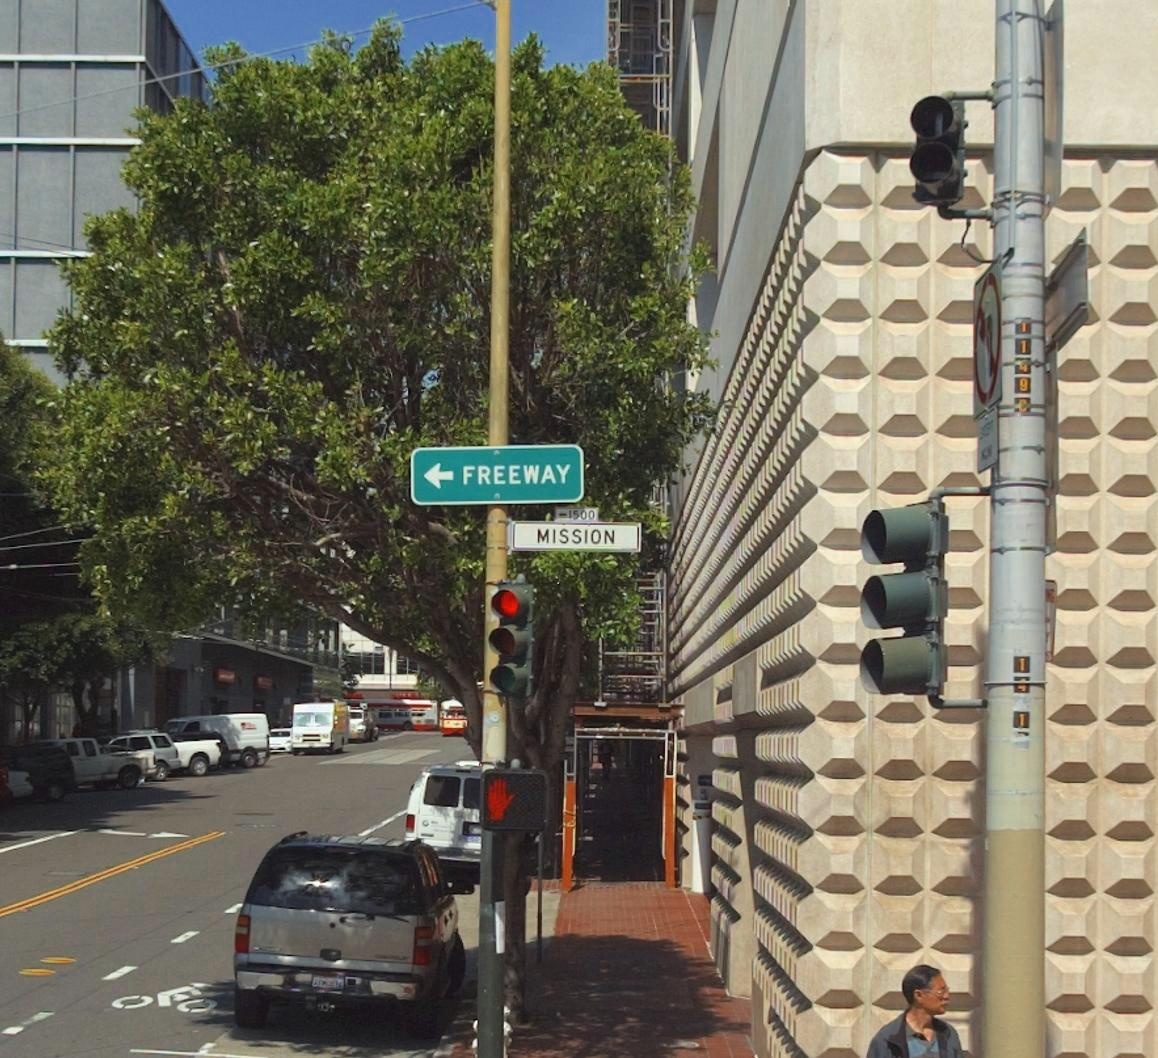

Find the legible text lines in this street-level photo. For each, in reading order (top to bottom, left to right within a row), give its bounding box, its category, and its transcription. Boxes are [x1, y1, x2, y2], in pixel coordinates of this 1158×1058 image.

[1015, 318, 1030, 411] None: 11*9*
[461, 463, 572, 486] None: FREEWAY
[557, 508, 595, 520] StreetNumberRange: <-1500
[533, 527, 616, 545] StreetName: MISSION
[1014, 656, 1030, 728] None: 14 1